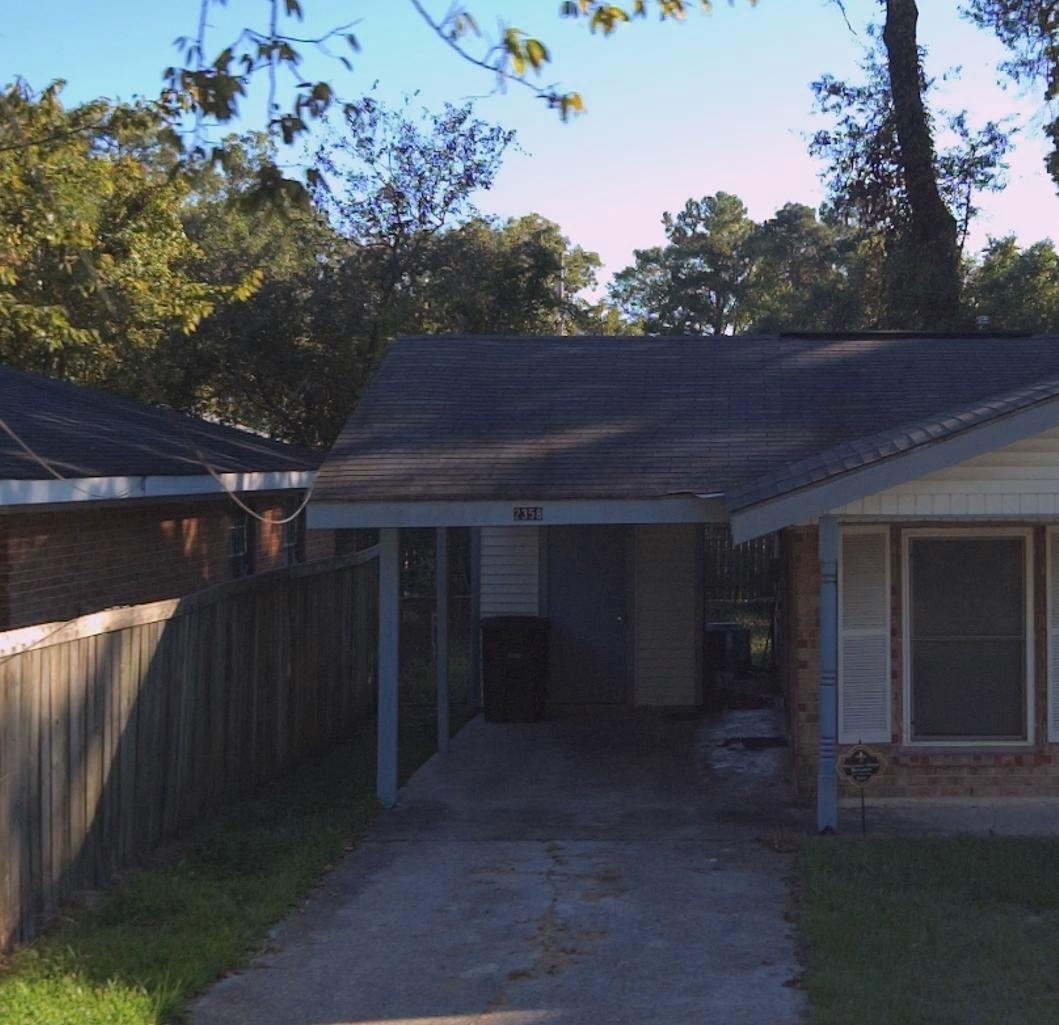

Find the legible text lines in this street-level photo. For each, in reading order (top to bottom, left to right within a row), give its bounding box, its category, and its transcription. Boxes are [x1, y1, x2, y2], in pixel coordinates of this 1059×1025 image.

[513, 508, 544, 521] StreetNumber: 2358